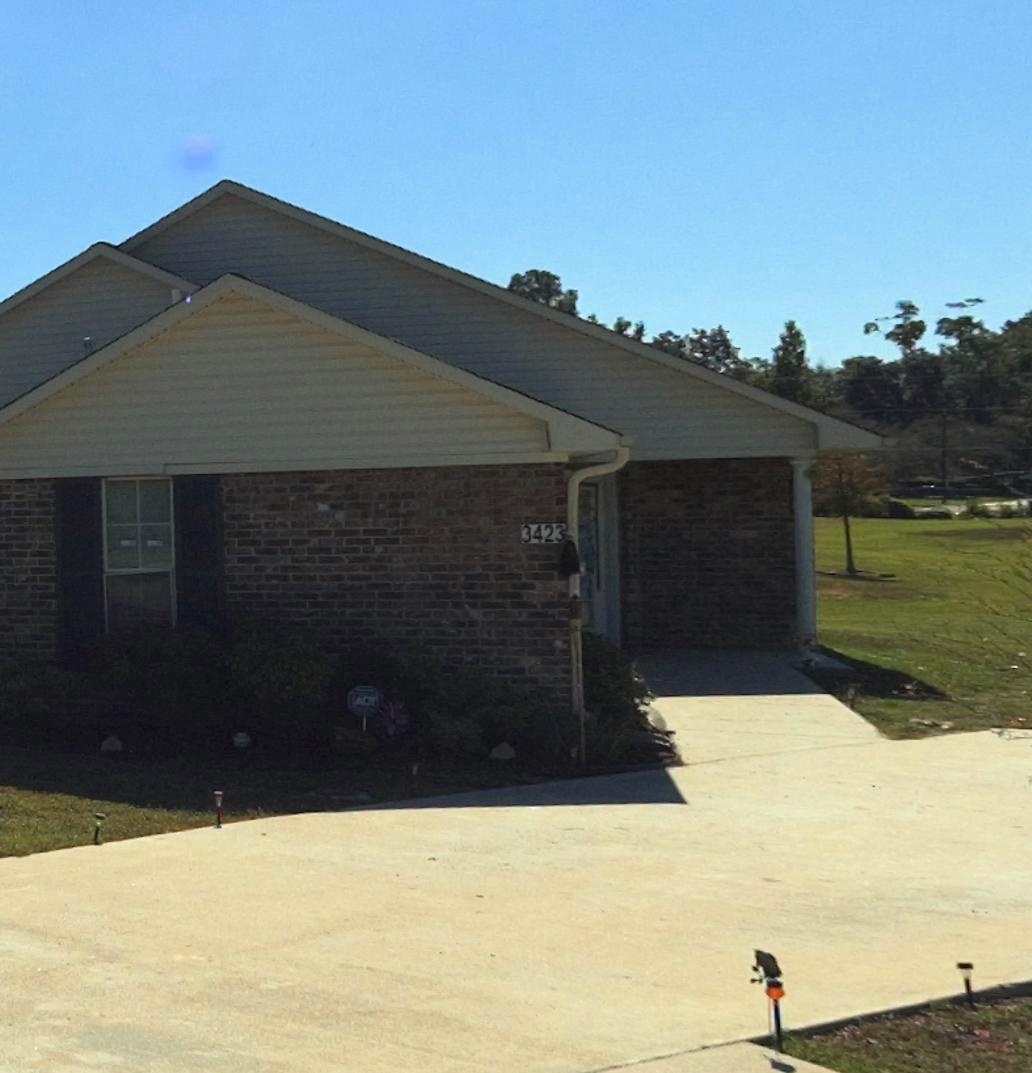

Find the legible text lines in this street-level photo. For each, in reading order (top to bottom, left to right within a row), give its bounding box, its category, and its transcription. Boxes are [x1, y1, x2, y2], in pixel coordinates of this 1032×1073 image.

[521, 523, 566, 544] StreetNumber: 3423
[350, 695, 379, 708] None: ADT